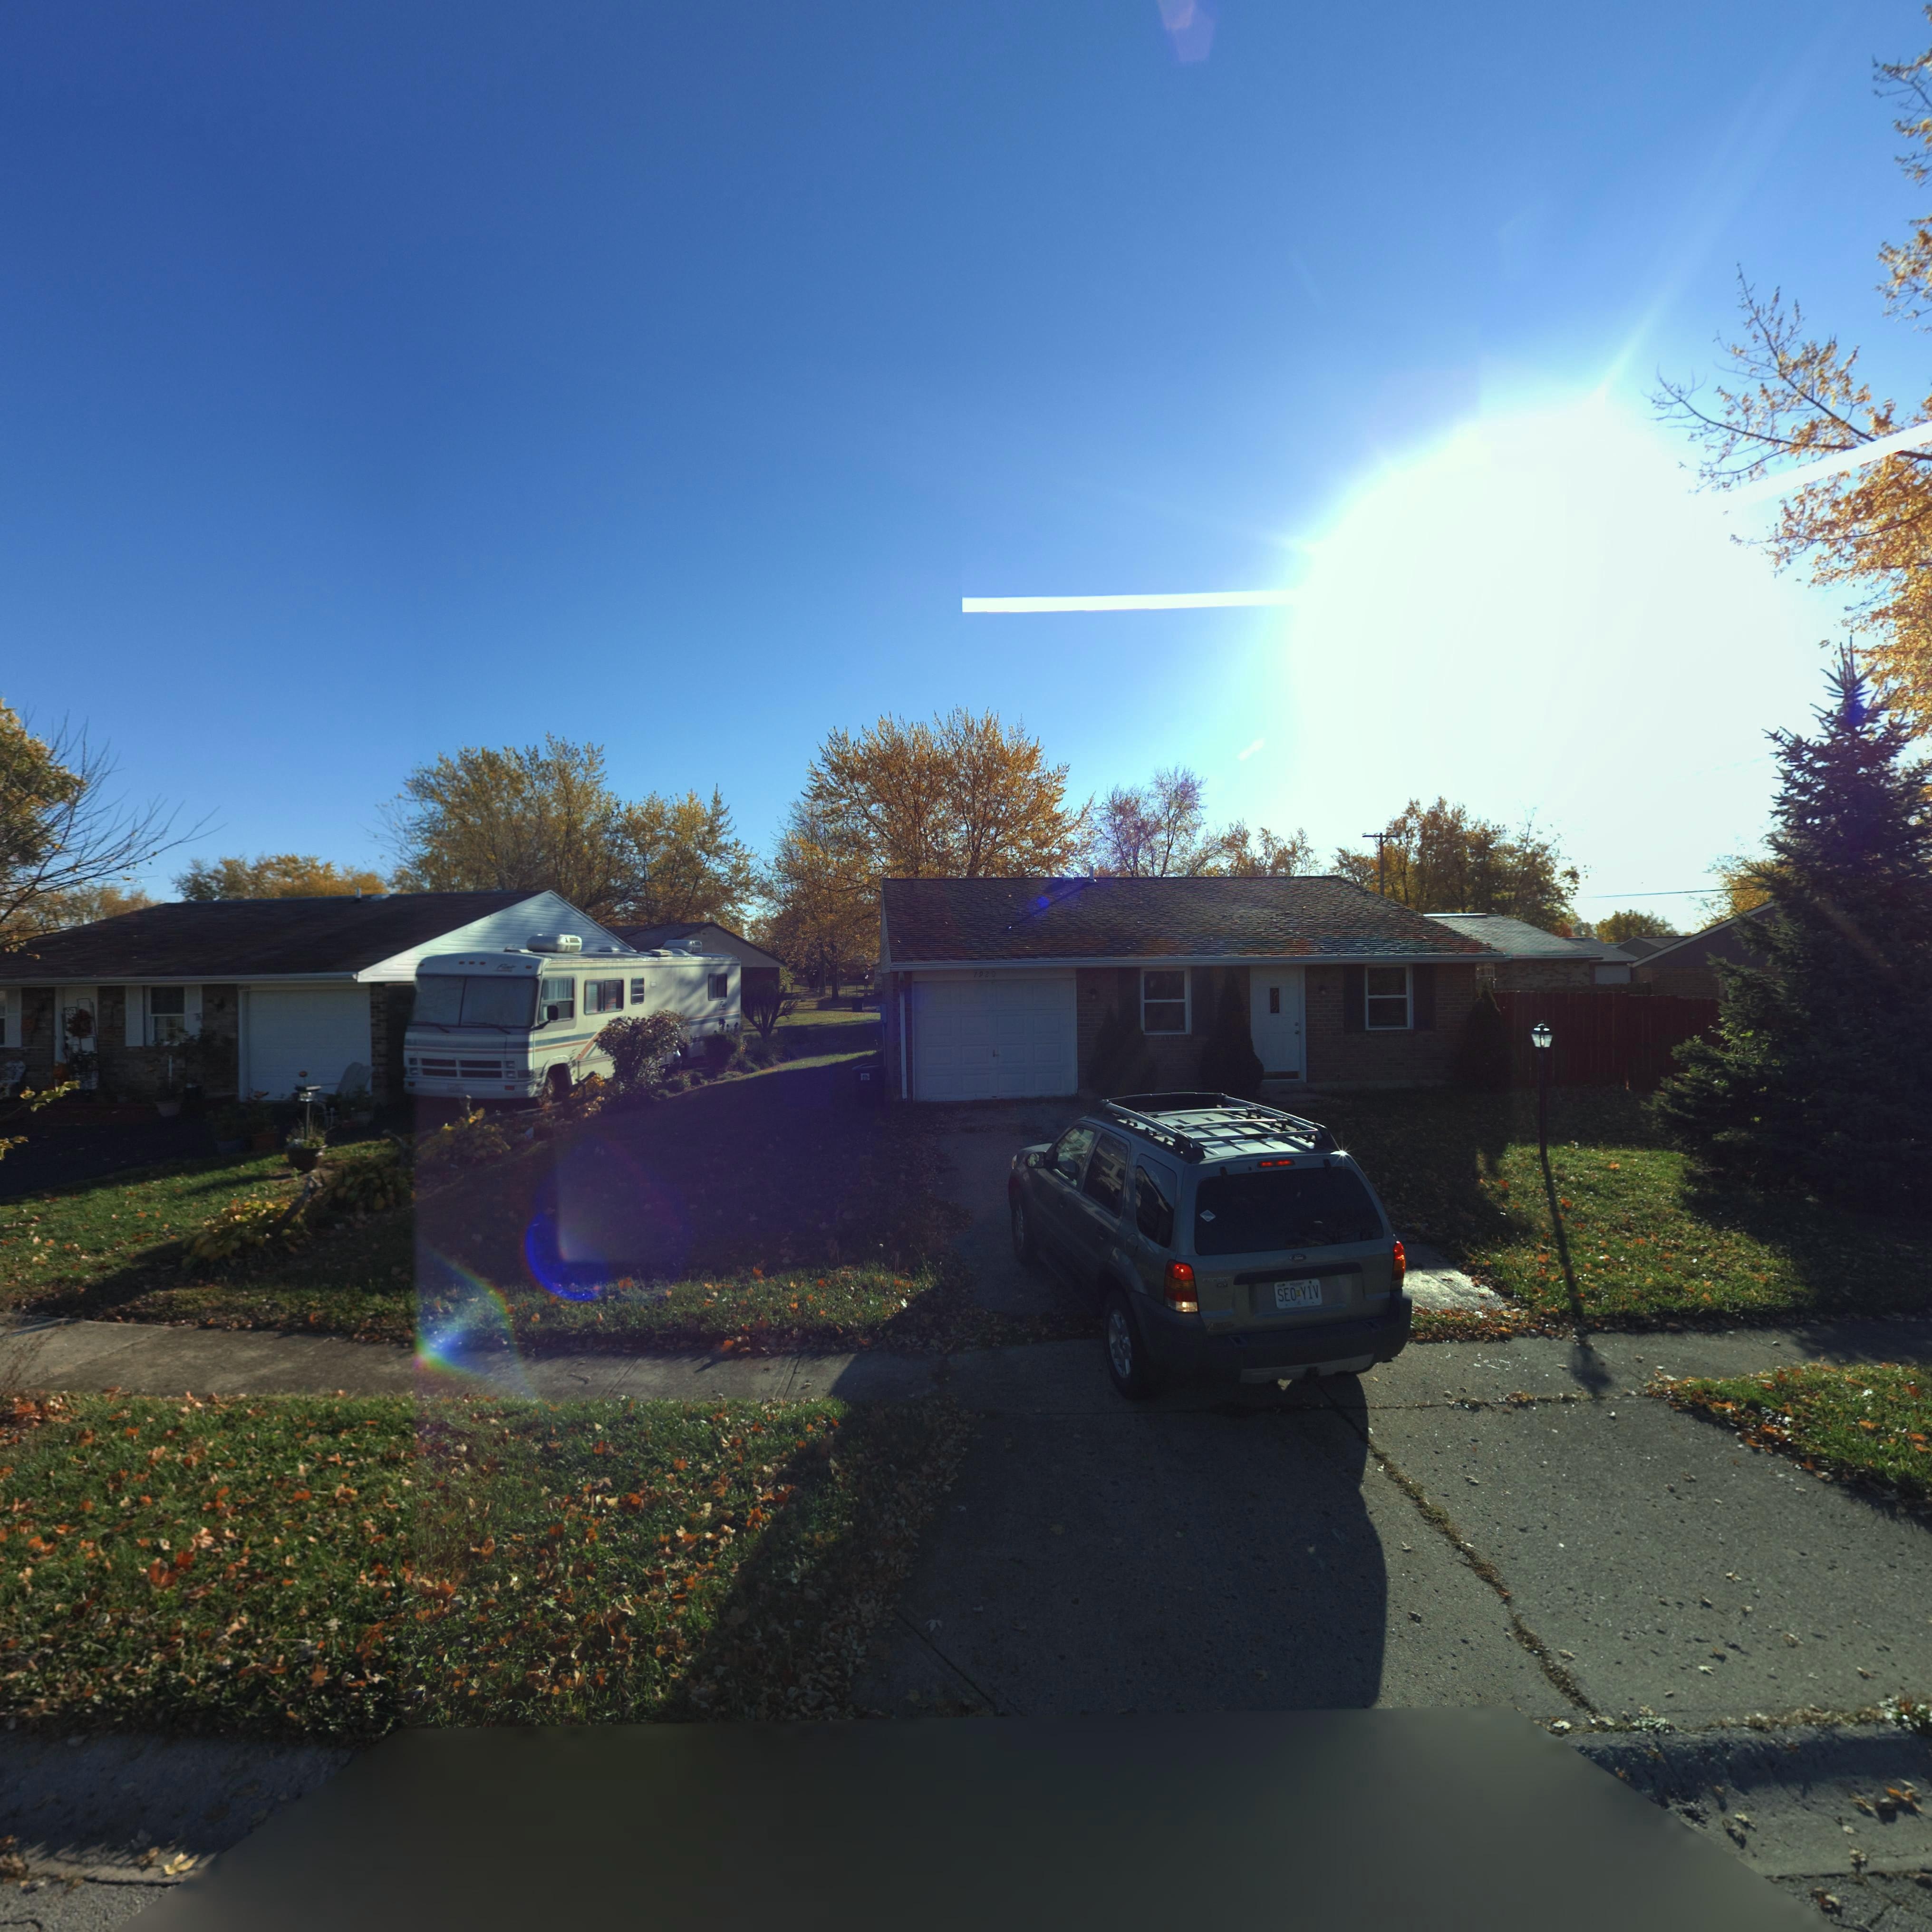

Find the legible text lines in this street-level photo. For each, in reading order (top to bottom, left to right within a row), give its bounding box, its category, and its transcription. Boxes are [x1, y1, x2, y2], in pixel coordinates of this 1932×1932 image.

[972, 970, 997, 979] StreetNumber: 7920
[1275, 1284, 1320, 1303] None: SEO YIV